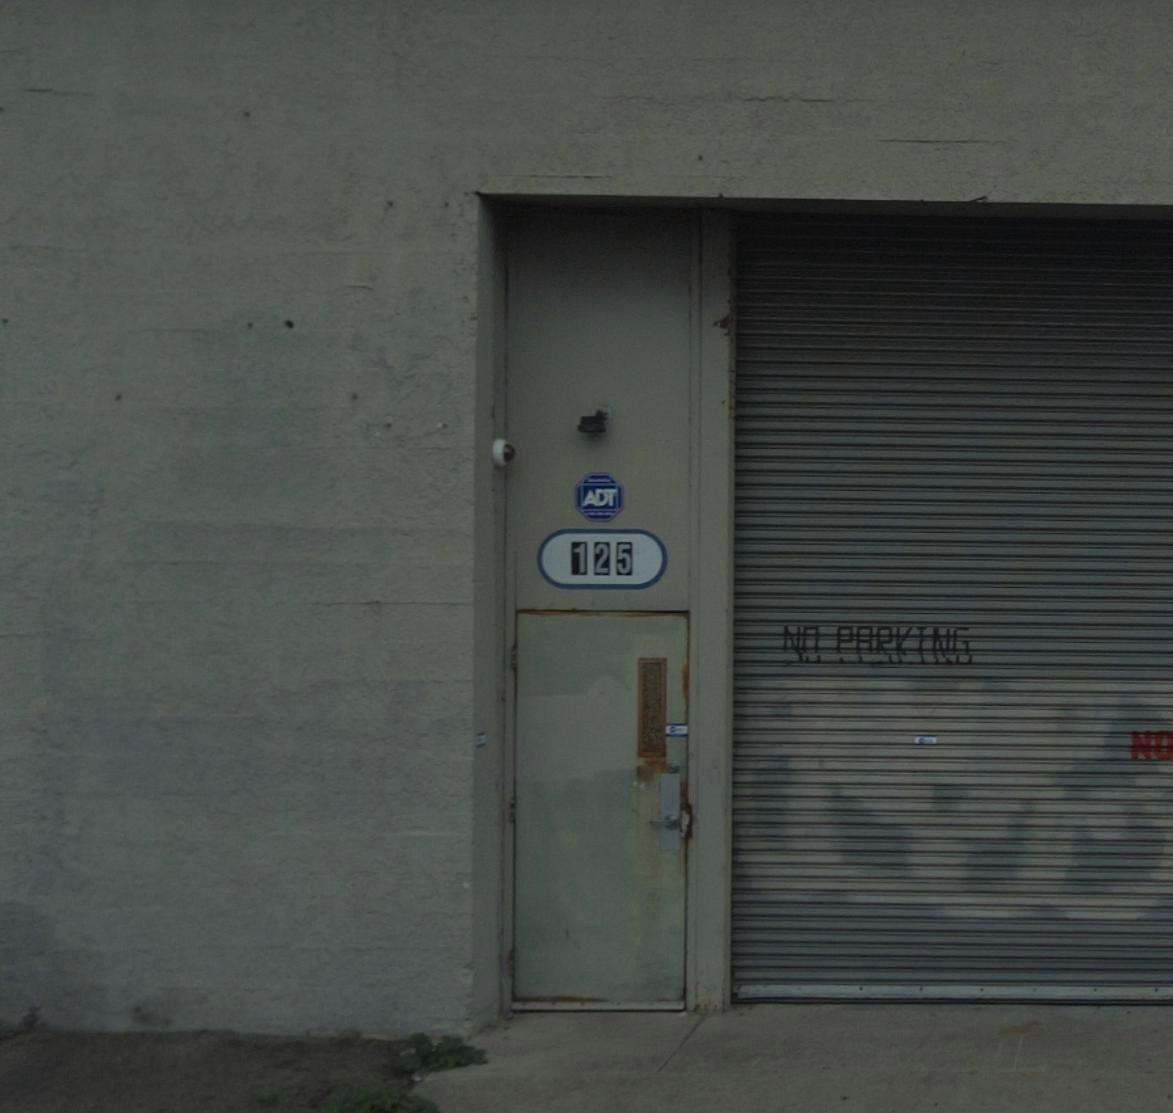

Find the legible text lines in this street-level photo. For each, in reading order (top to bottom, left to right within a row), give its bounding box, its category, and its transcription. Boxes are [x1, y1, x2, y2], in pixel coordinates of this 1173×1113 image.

[581, 488, 618, 507] None: ADT
[572, 542, 632, 574] StreetNumber: 125
[783, 625, 971, 654] None: NO PARKING
[1130, 728, 1173, 764] None: NO